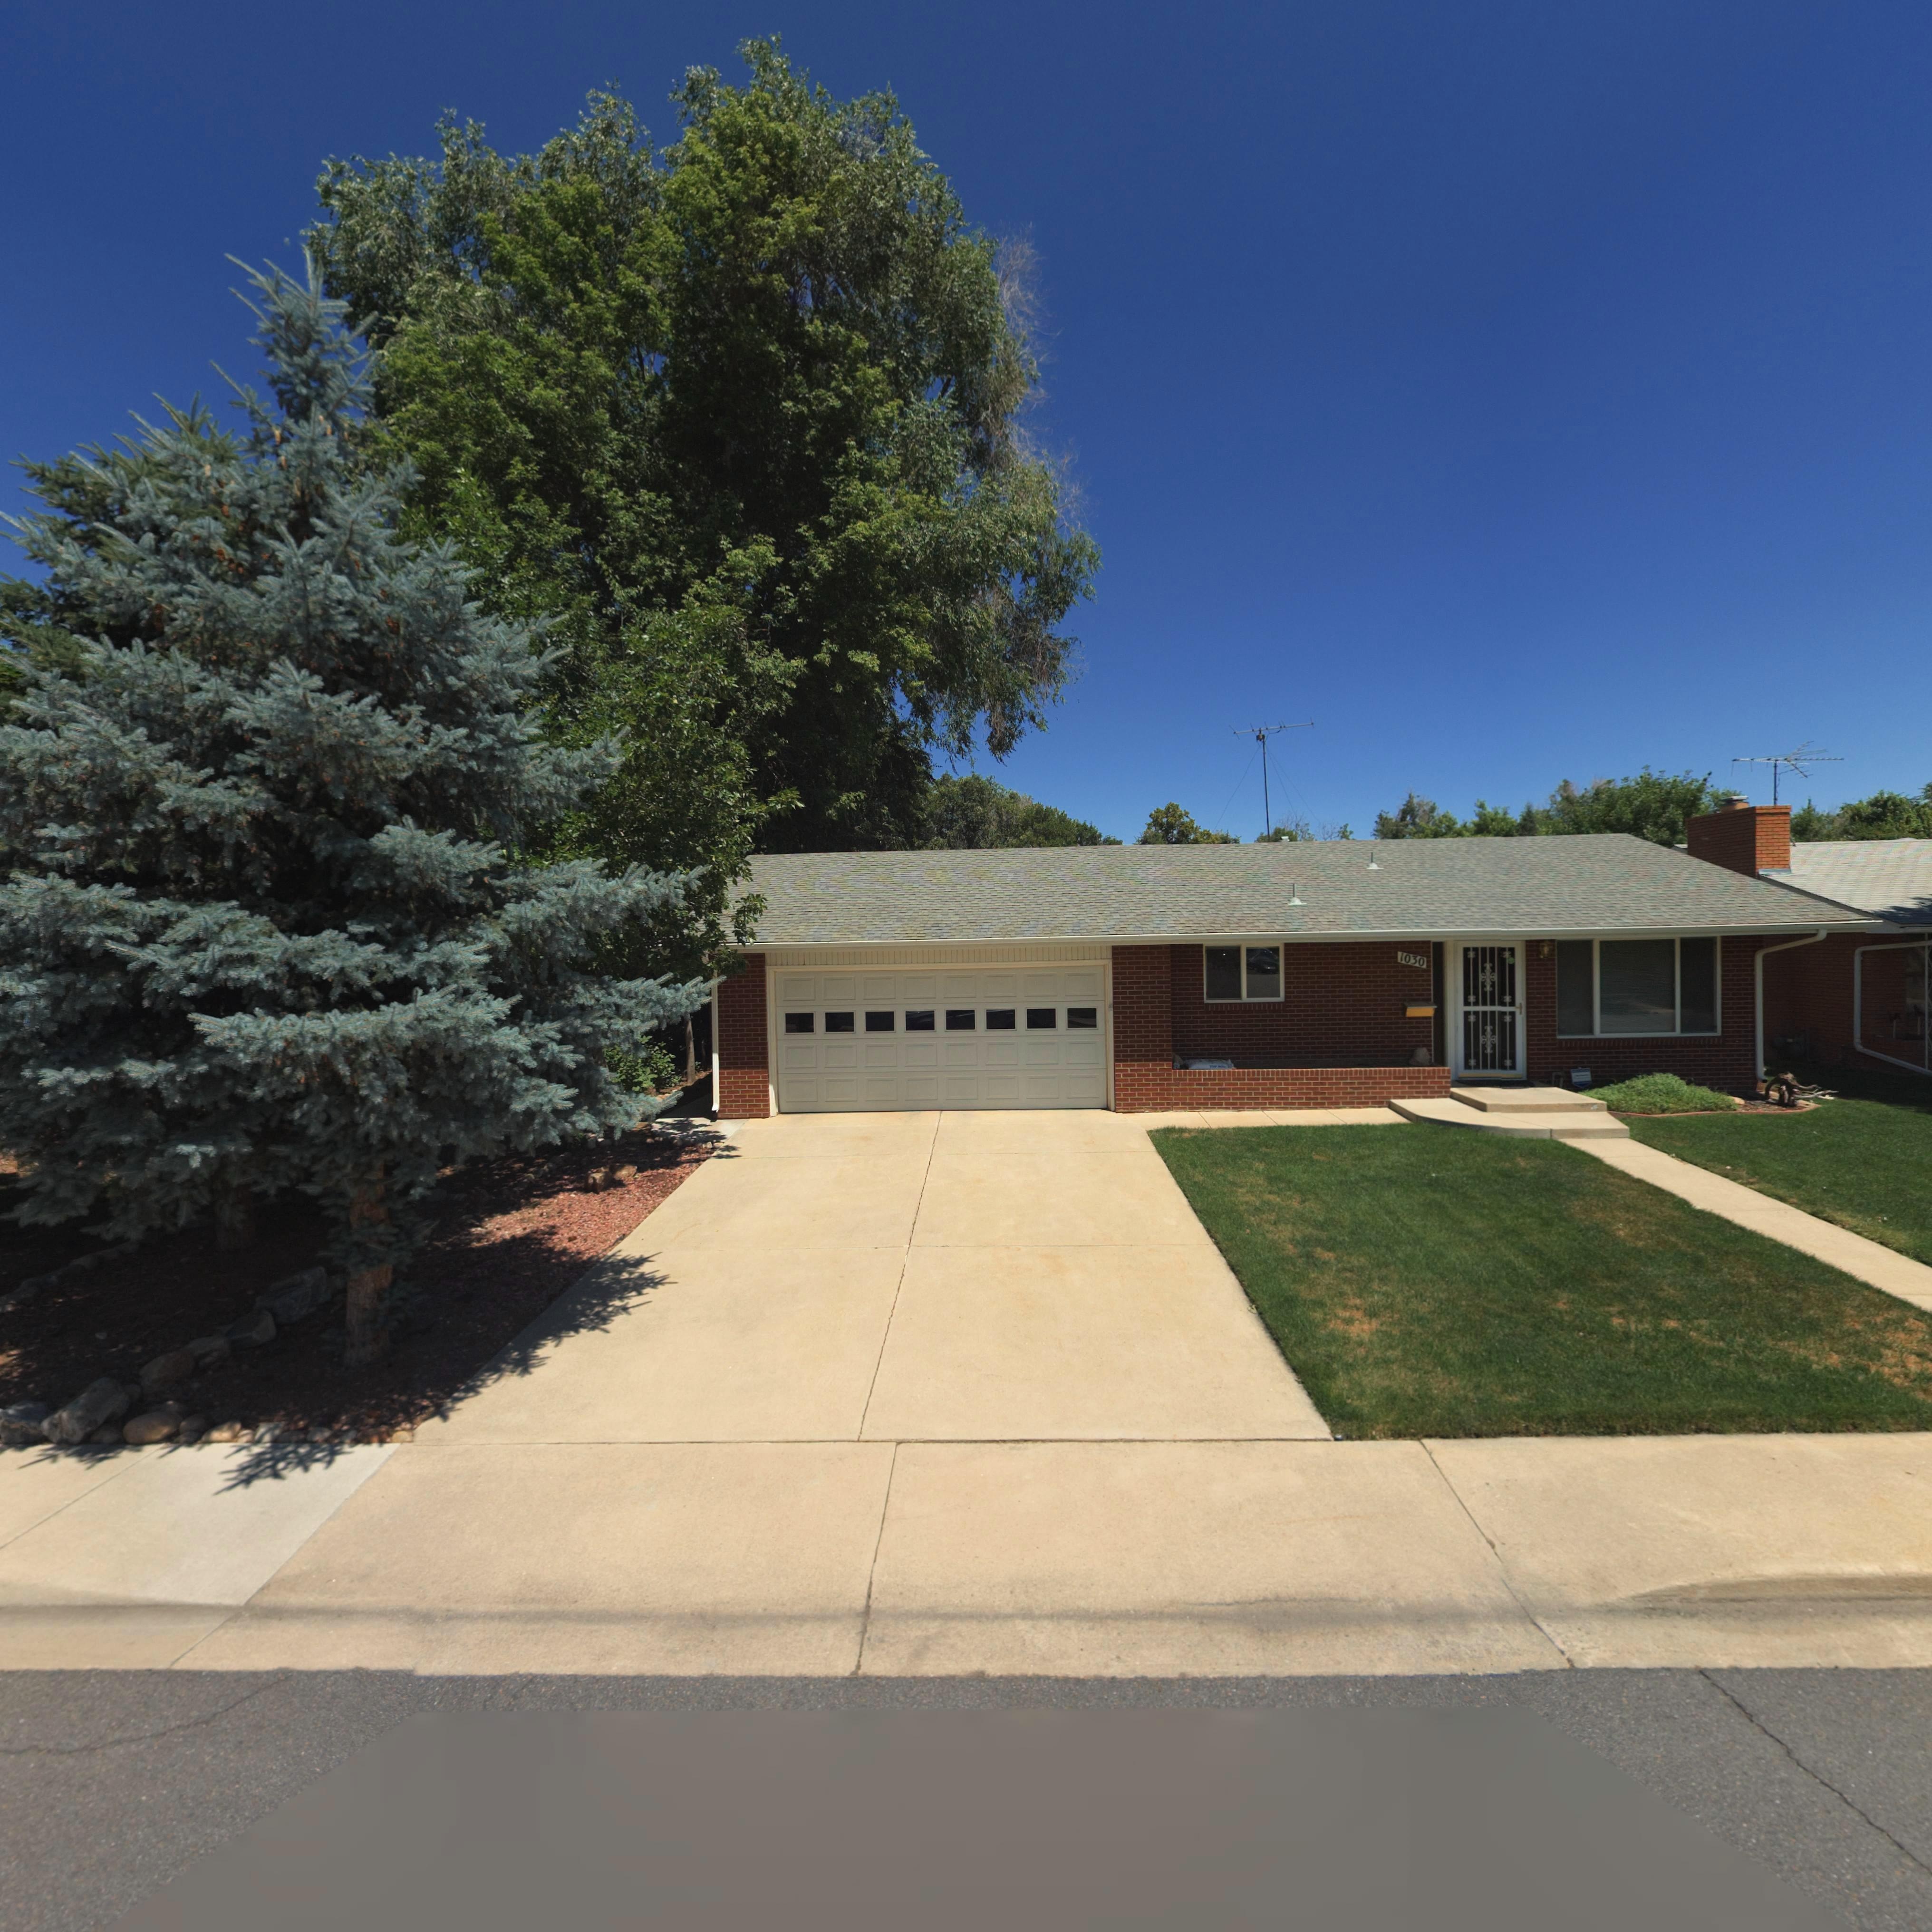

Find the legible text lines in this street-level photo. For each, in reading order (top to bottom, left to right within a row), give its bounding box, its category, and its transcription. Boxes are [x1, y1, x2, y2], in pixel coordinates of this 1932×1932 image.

[1400, 952, 1425, 966] StreetNumber: 1030